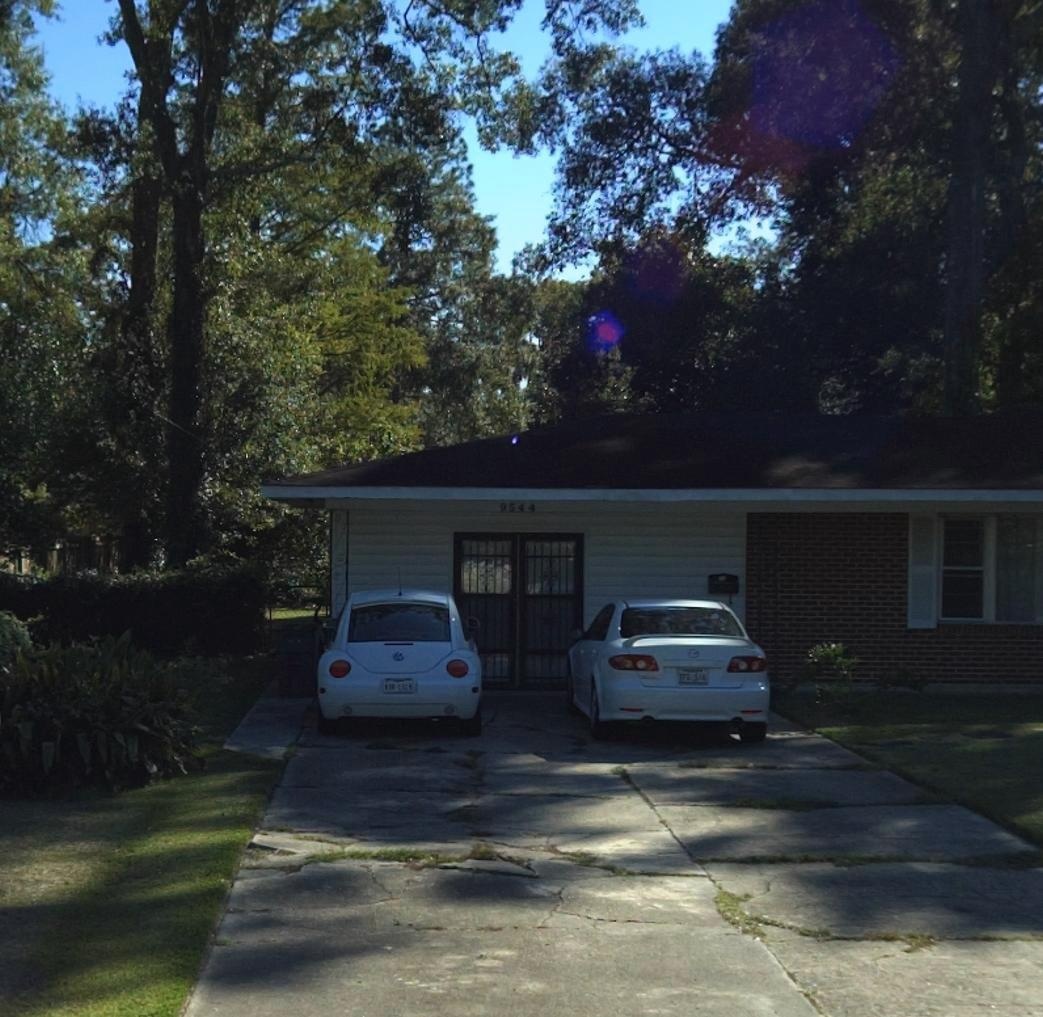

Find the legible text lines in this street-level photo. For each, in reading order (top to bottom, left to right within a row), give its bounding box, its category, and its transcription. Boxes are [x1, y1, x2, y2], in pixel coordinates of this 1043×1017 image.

[499, 501, 536, 513] StreetNumber: 9544